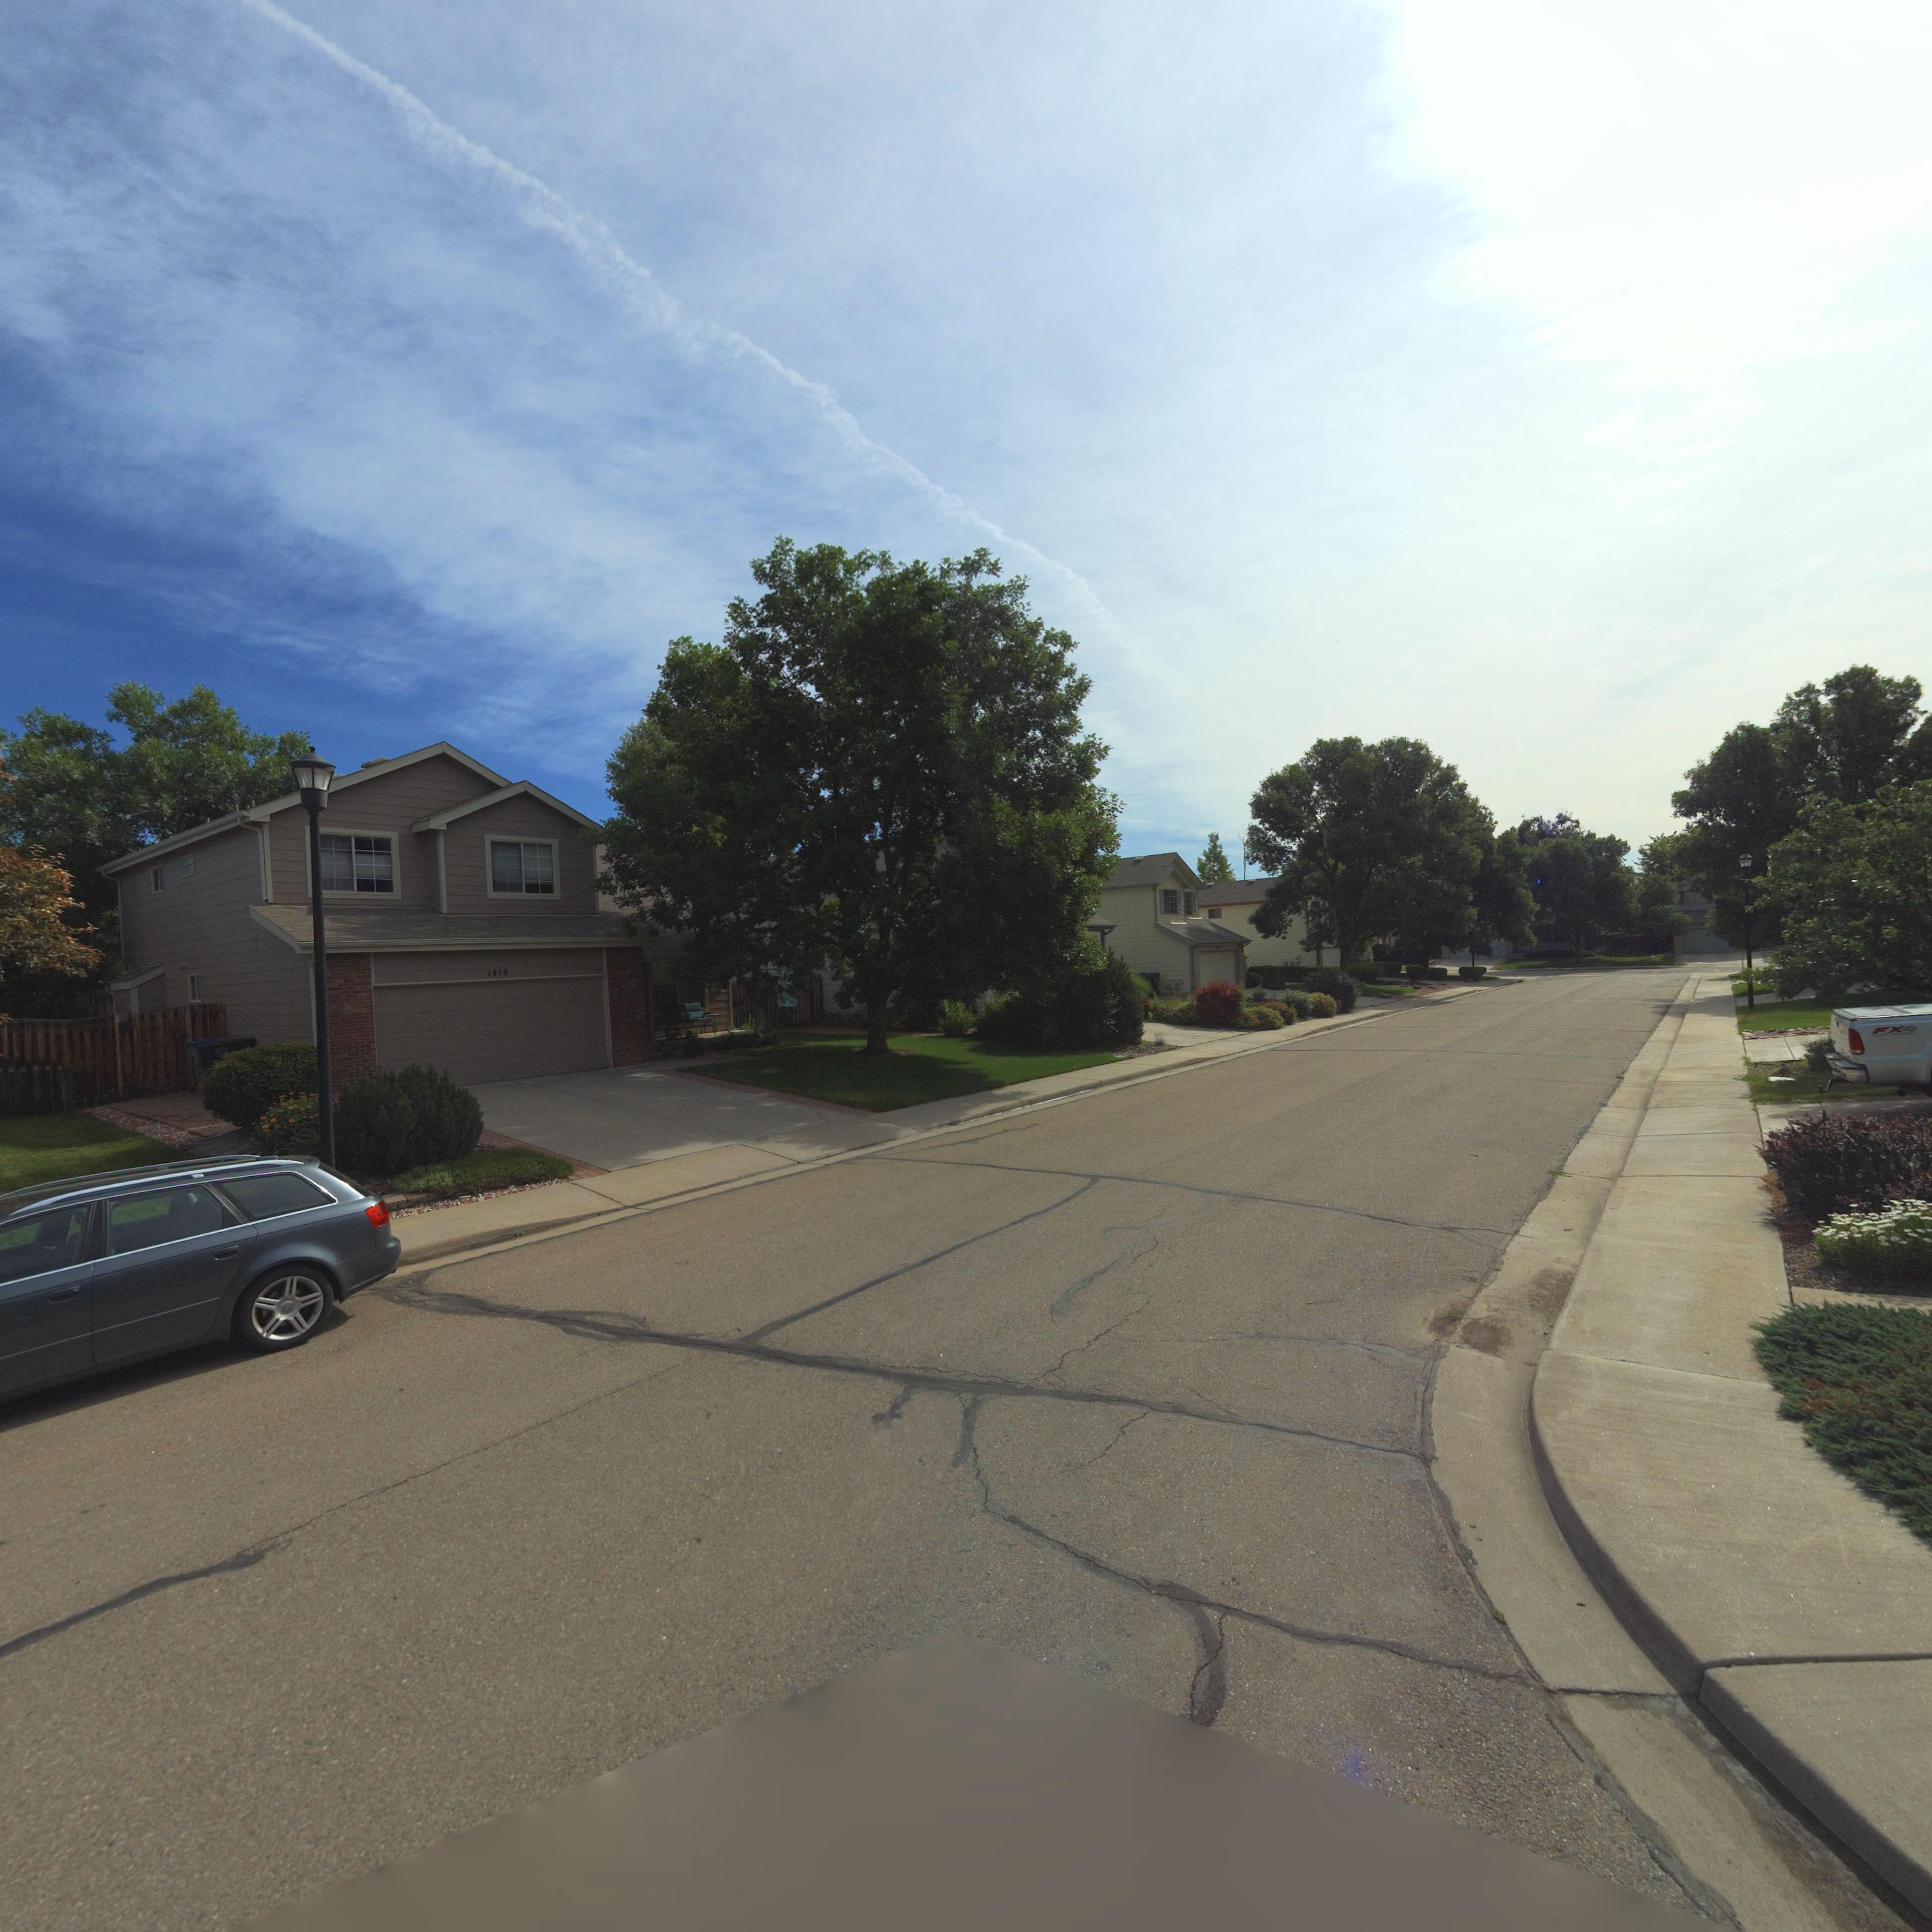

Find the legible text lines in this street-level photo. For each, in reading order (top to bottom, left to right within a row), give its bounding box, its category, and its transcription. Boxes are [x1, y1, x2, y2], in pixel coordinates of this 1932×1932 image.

[488, 968, 508, 976] StreetNumber: 1418